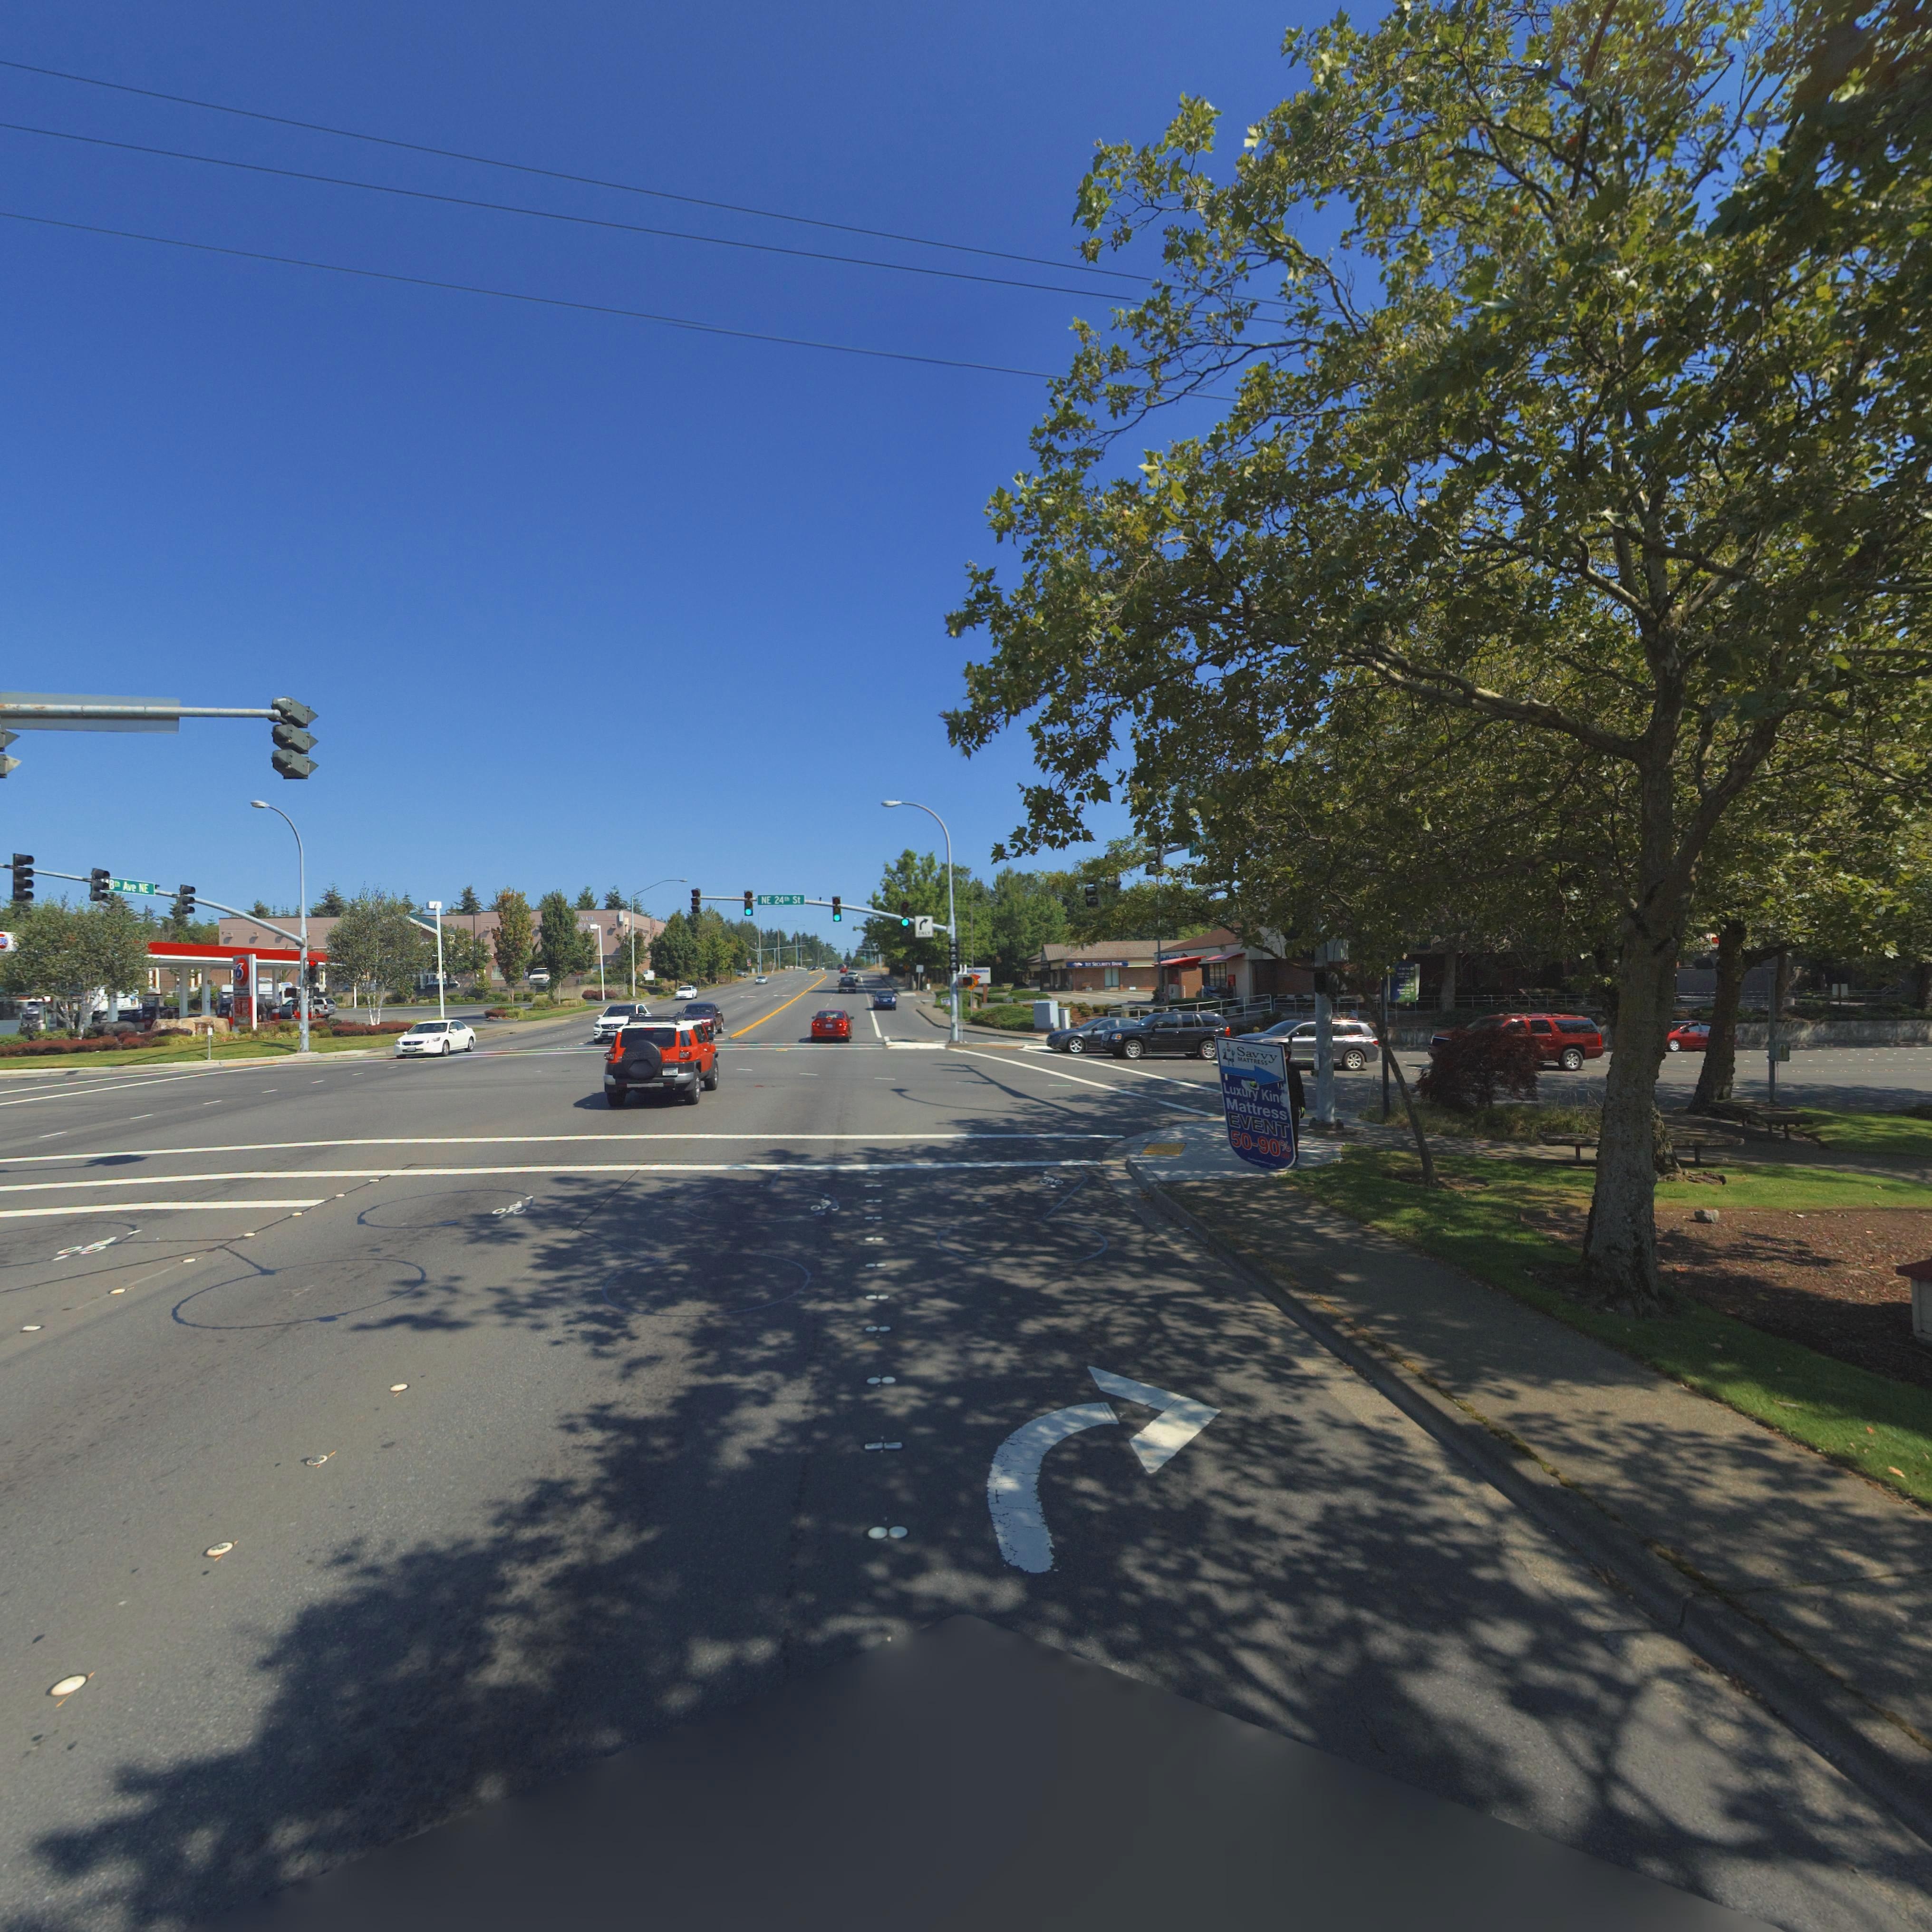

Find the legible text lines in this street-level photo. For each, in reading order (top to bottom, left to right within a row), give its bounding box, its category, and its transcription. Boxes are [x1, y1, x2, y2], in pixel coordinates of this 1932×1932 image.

[100, 878, 149, 893] StreetName: *8th Ave NE
[761, 896, 801, 903] StreetName: NE 24th ST
[1084, 961, 1123, 966] BusinessName: 1ST S*CU**TY BANK
[234, 963, 243, 980] BusinessName: 6
[1237, 1056, 1267, 1065] BusinessName: MATTRESS
[1236, 1046, 1277, 1063] BusinessName: Savvy